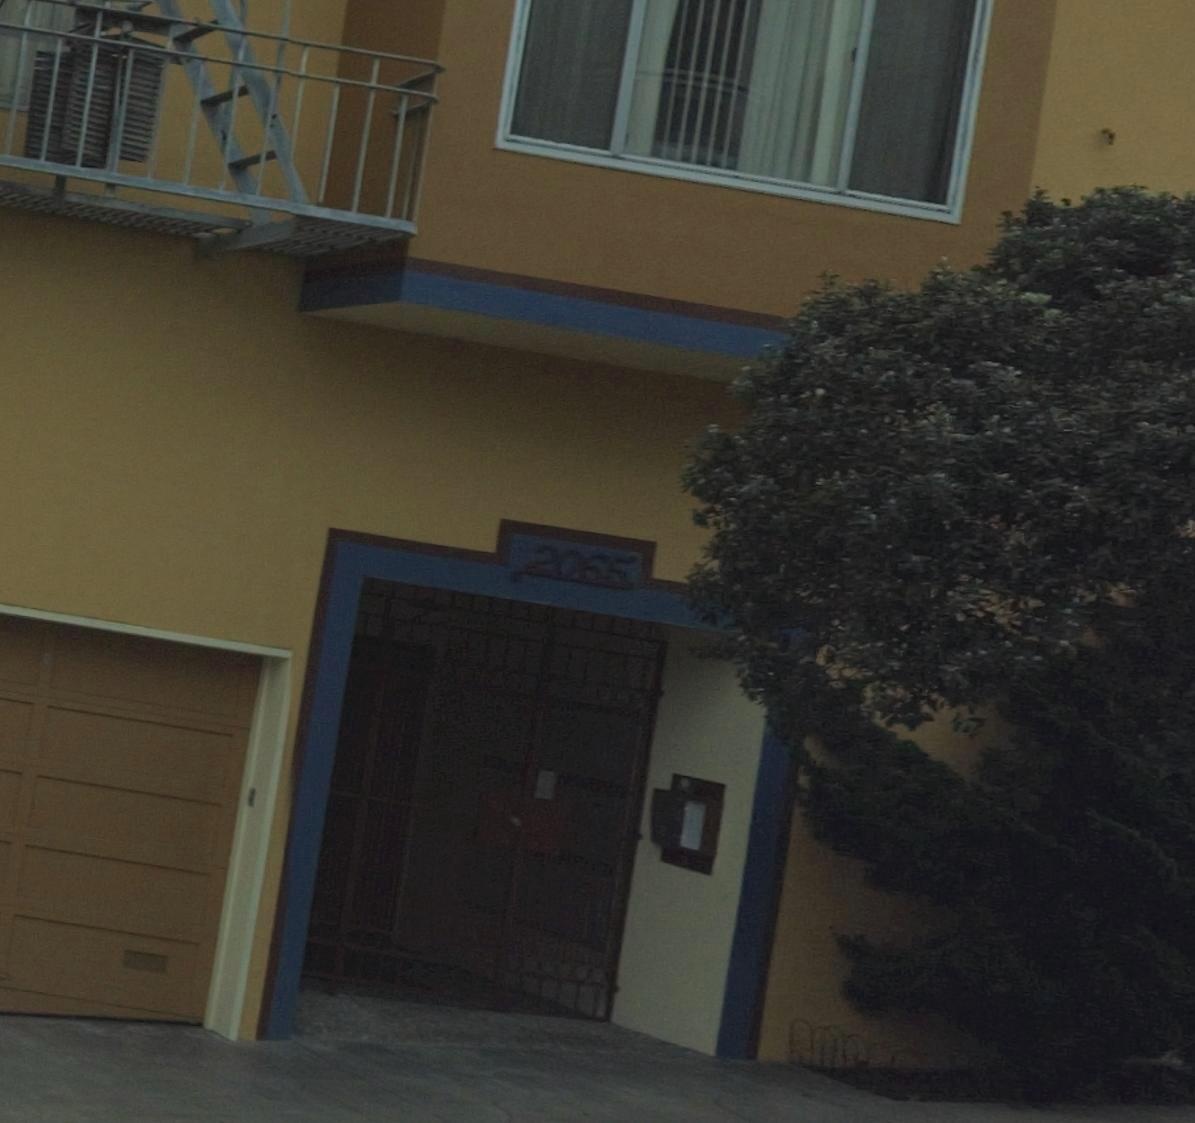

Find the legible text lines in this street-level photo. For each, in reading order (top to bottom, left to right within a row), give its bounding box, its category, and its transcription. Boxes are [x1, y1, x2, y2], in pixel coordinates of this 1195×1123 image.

[519, 542, 639, 591] StreetNumber: 2065